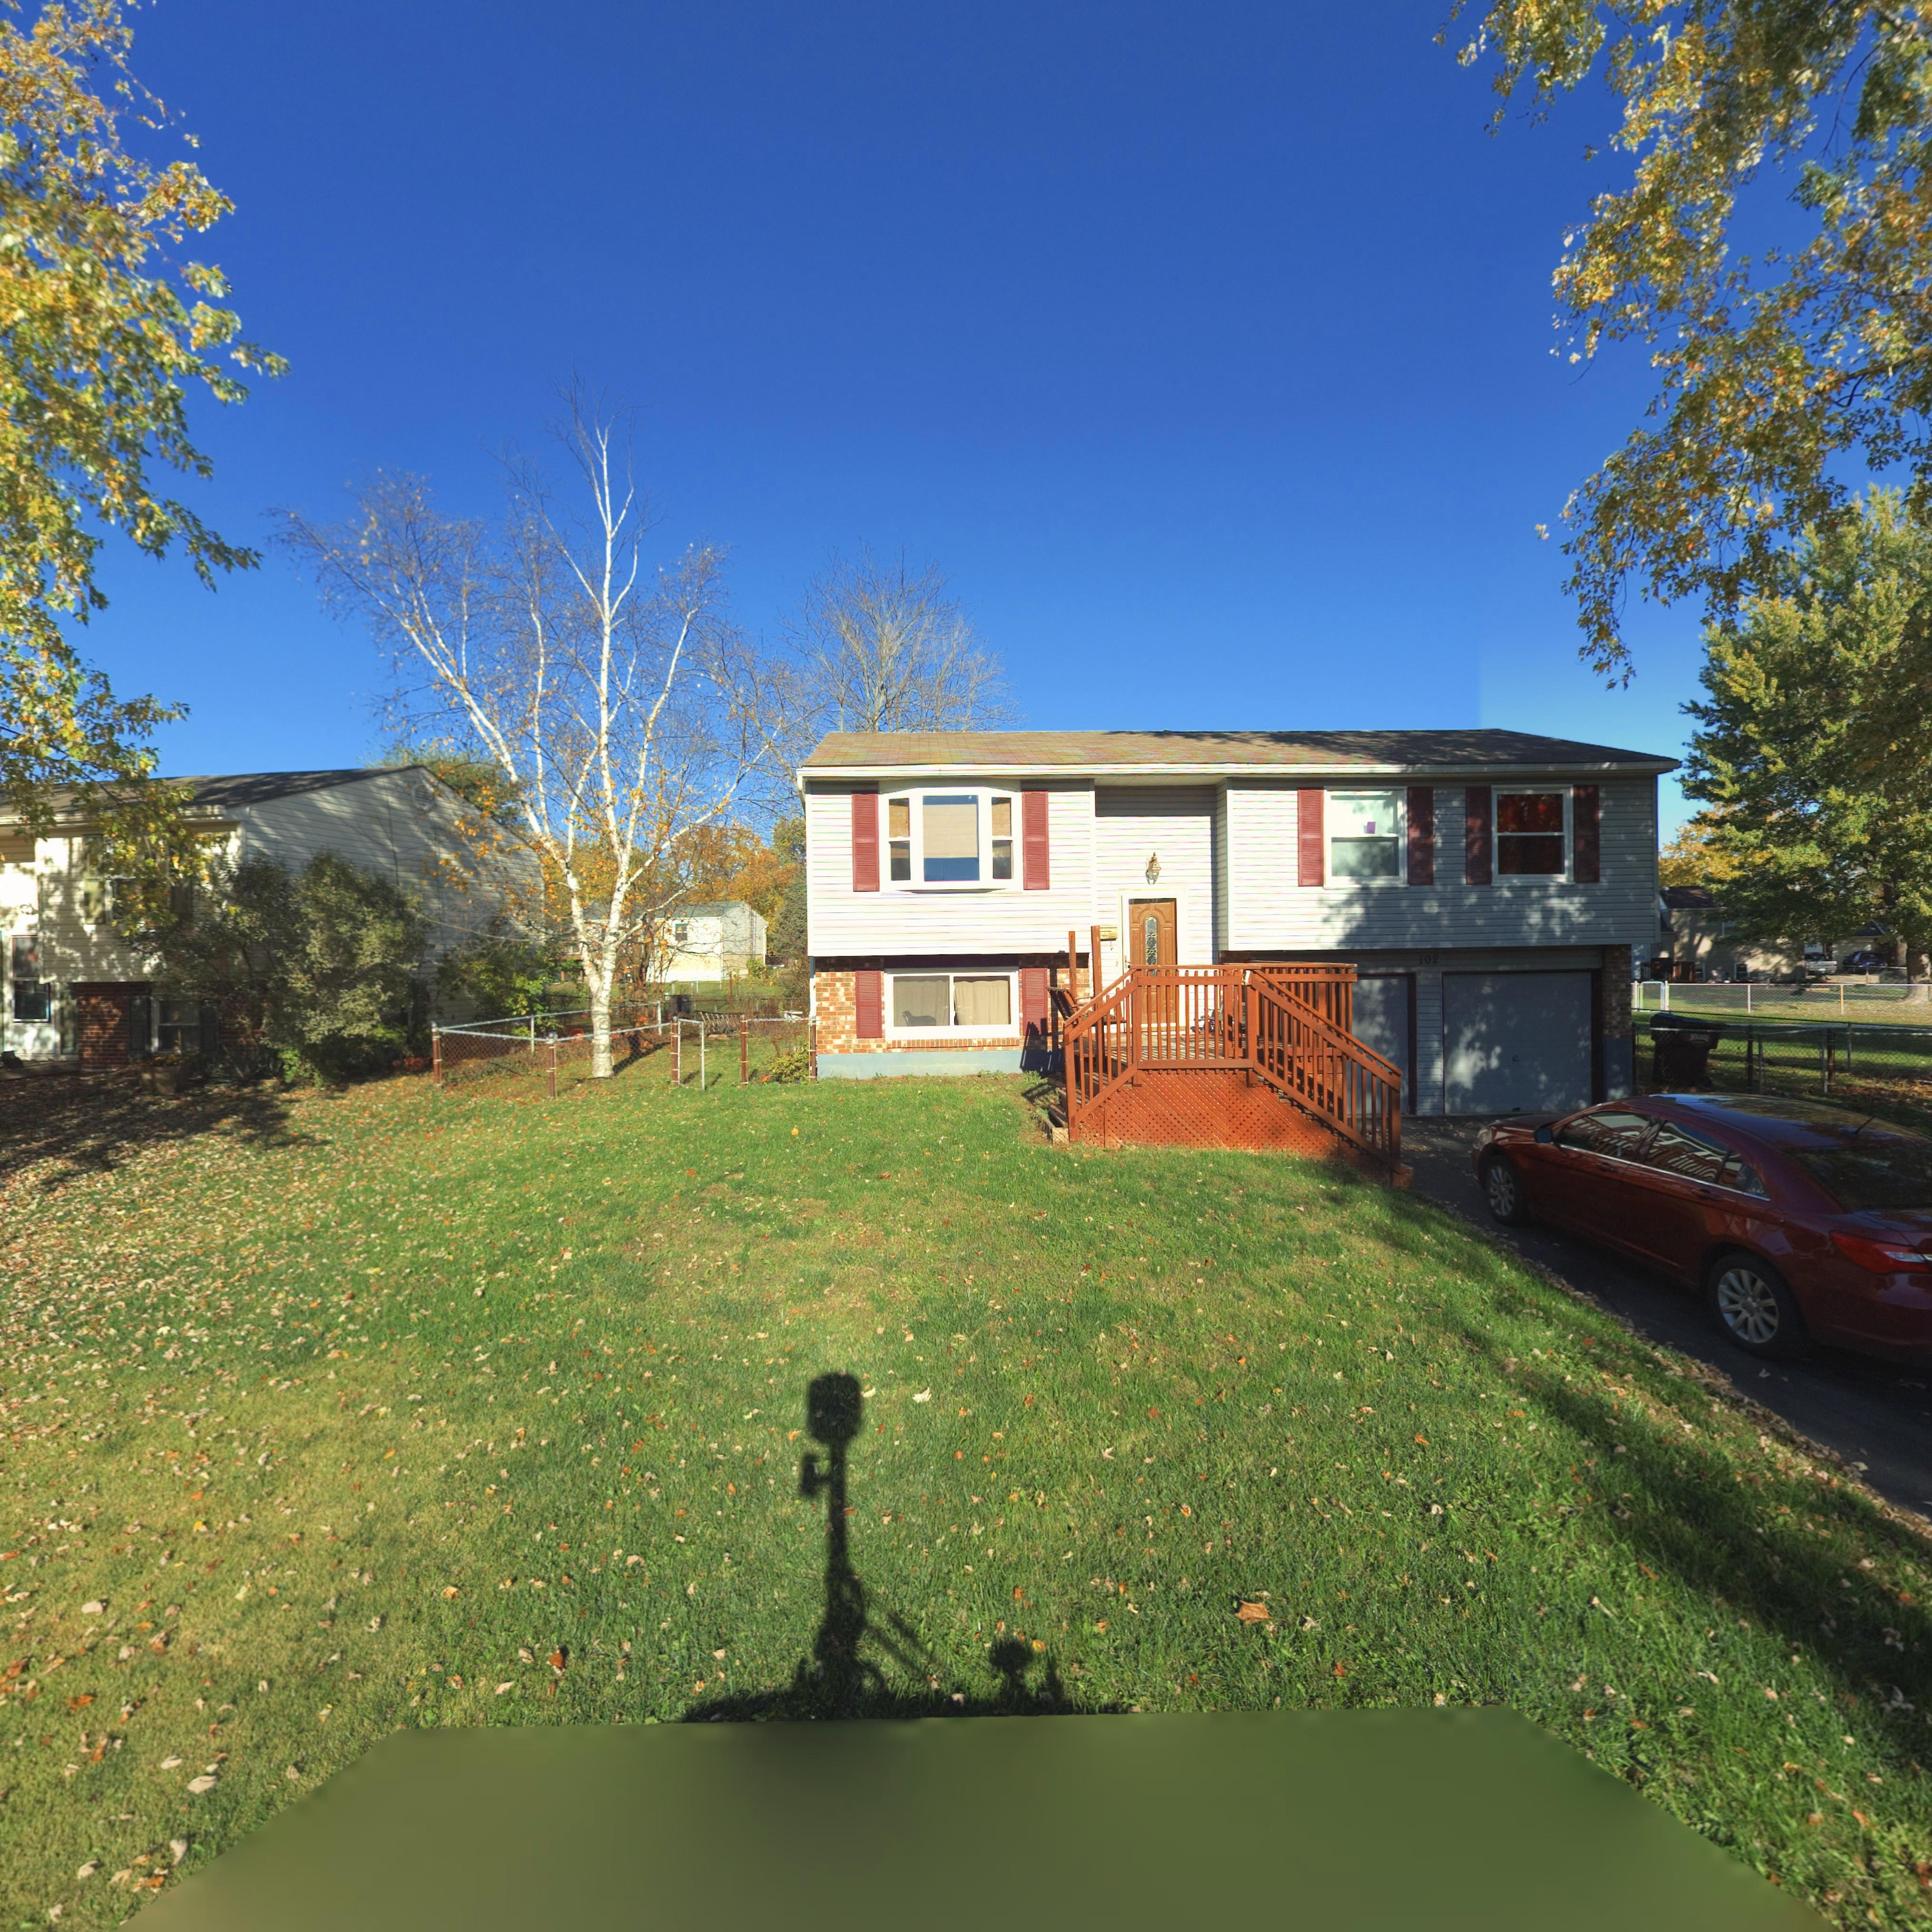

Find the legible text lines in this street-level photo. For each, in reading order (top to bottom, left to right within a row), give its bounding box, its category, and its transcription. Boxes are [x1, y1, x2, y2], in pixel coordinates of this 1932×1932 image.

[1419, 954, 1439, 965] StreetNumber: 102